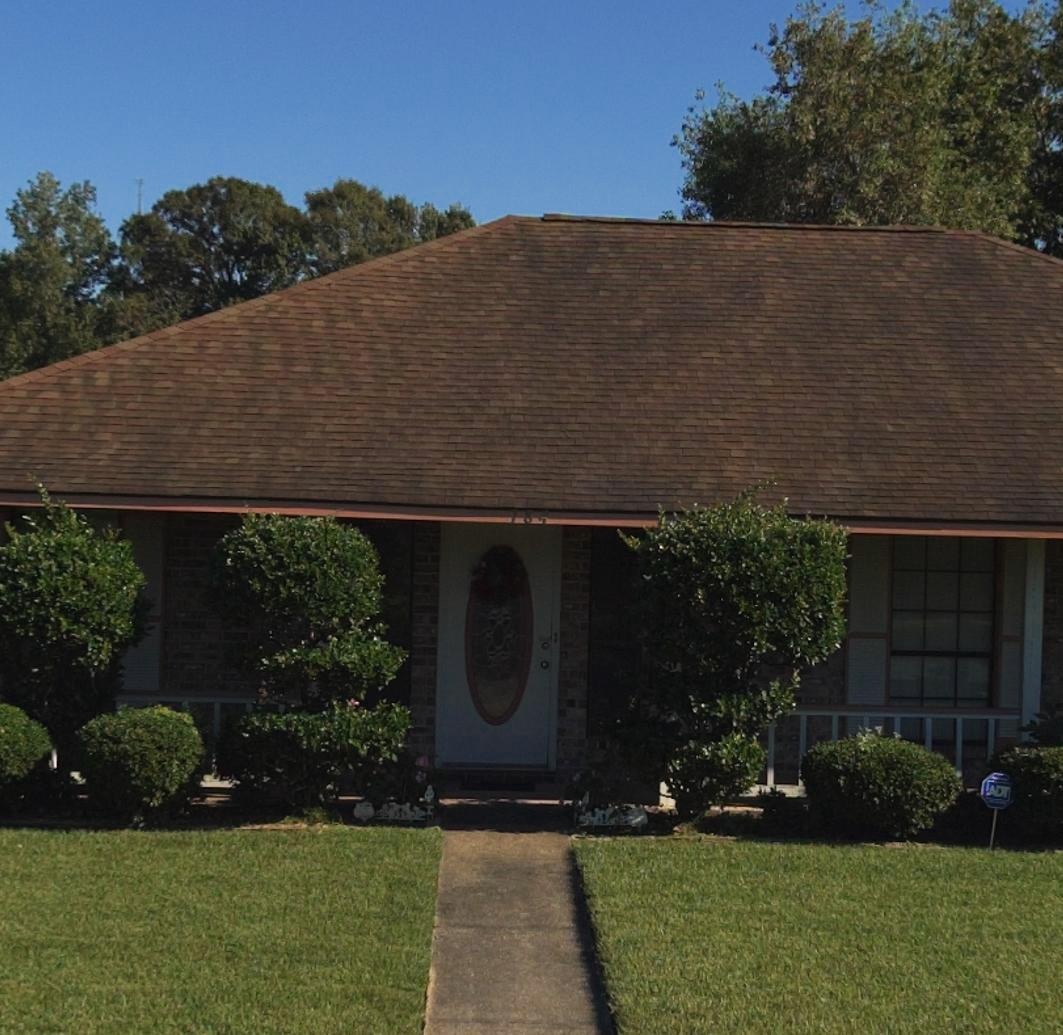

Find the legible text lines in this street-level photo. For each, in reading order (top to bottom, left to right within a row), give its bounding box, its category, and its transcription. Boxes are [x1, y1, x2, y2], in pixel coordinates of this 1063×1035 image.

[507, 508, 549, 524] StreetNumber: 784